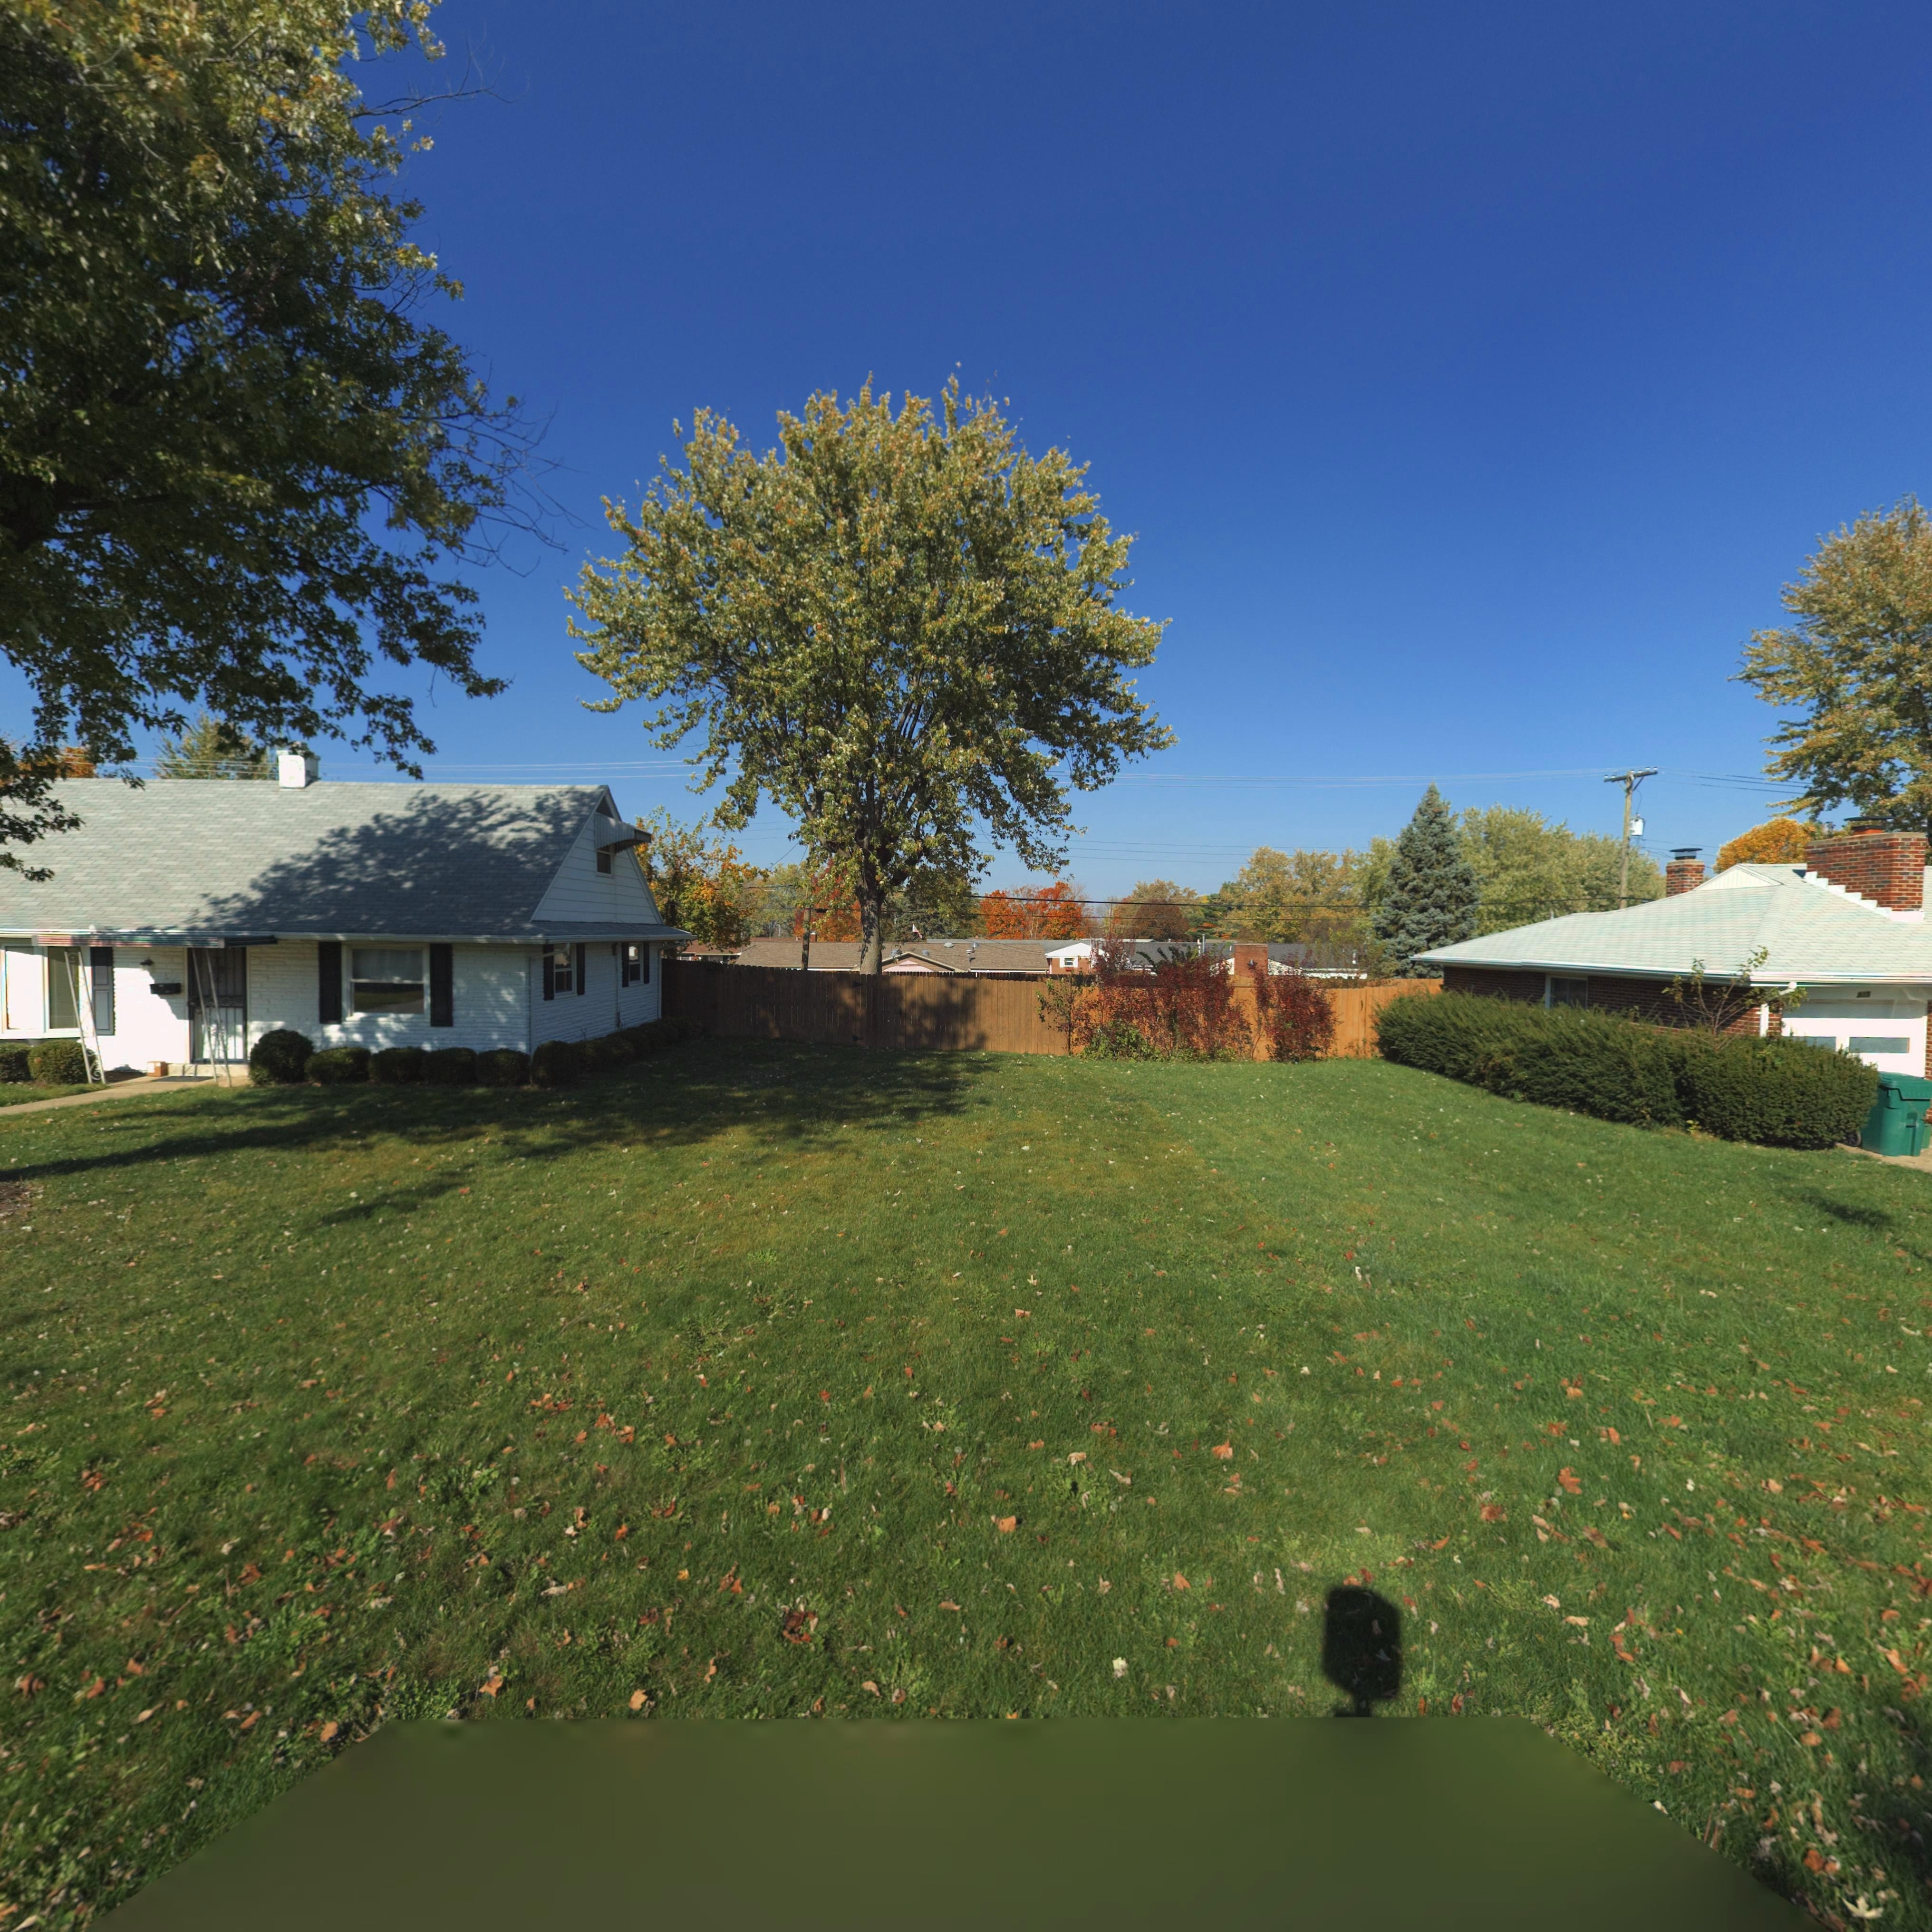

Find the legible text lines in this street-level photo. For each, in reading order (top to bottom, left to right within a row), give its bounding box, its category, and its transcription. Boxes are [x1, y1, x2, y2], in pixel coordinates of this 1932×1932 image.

[1856, 991, 1872, 998] StreetNumber: 9*5